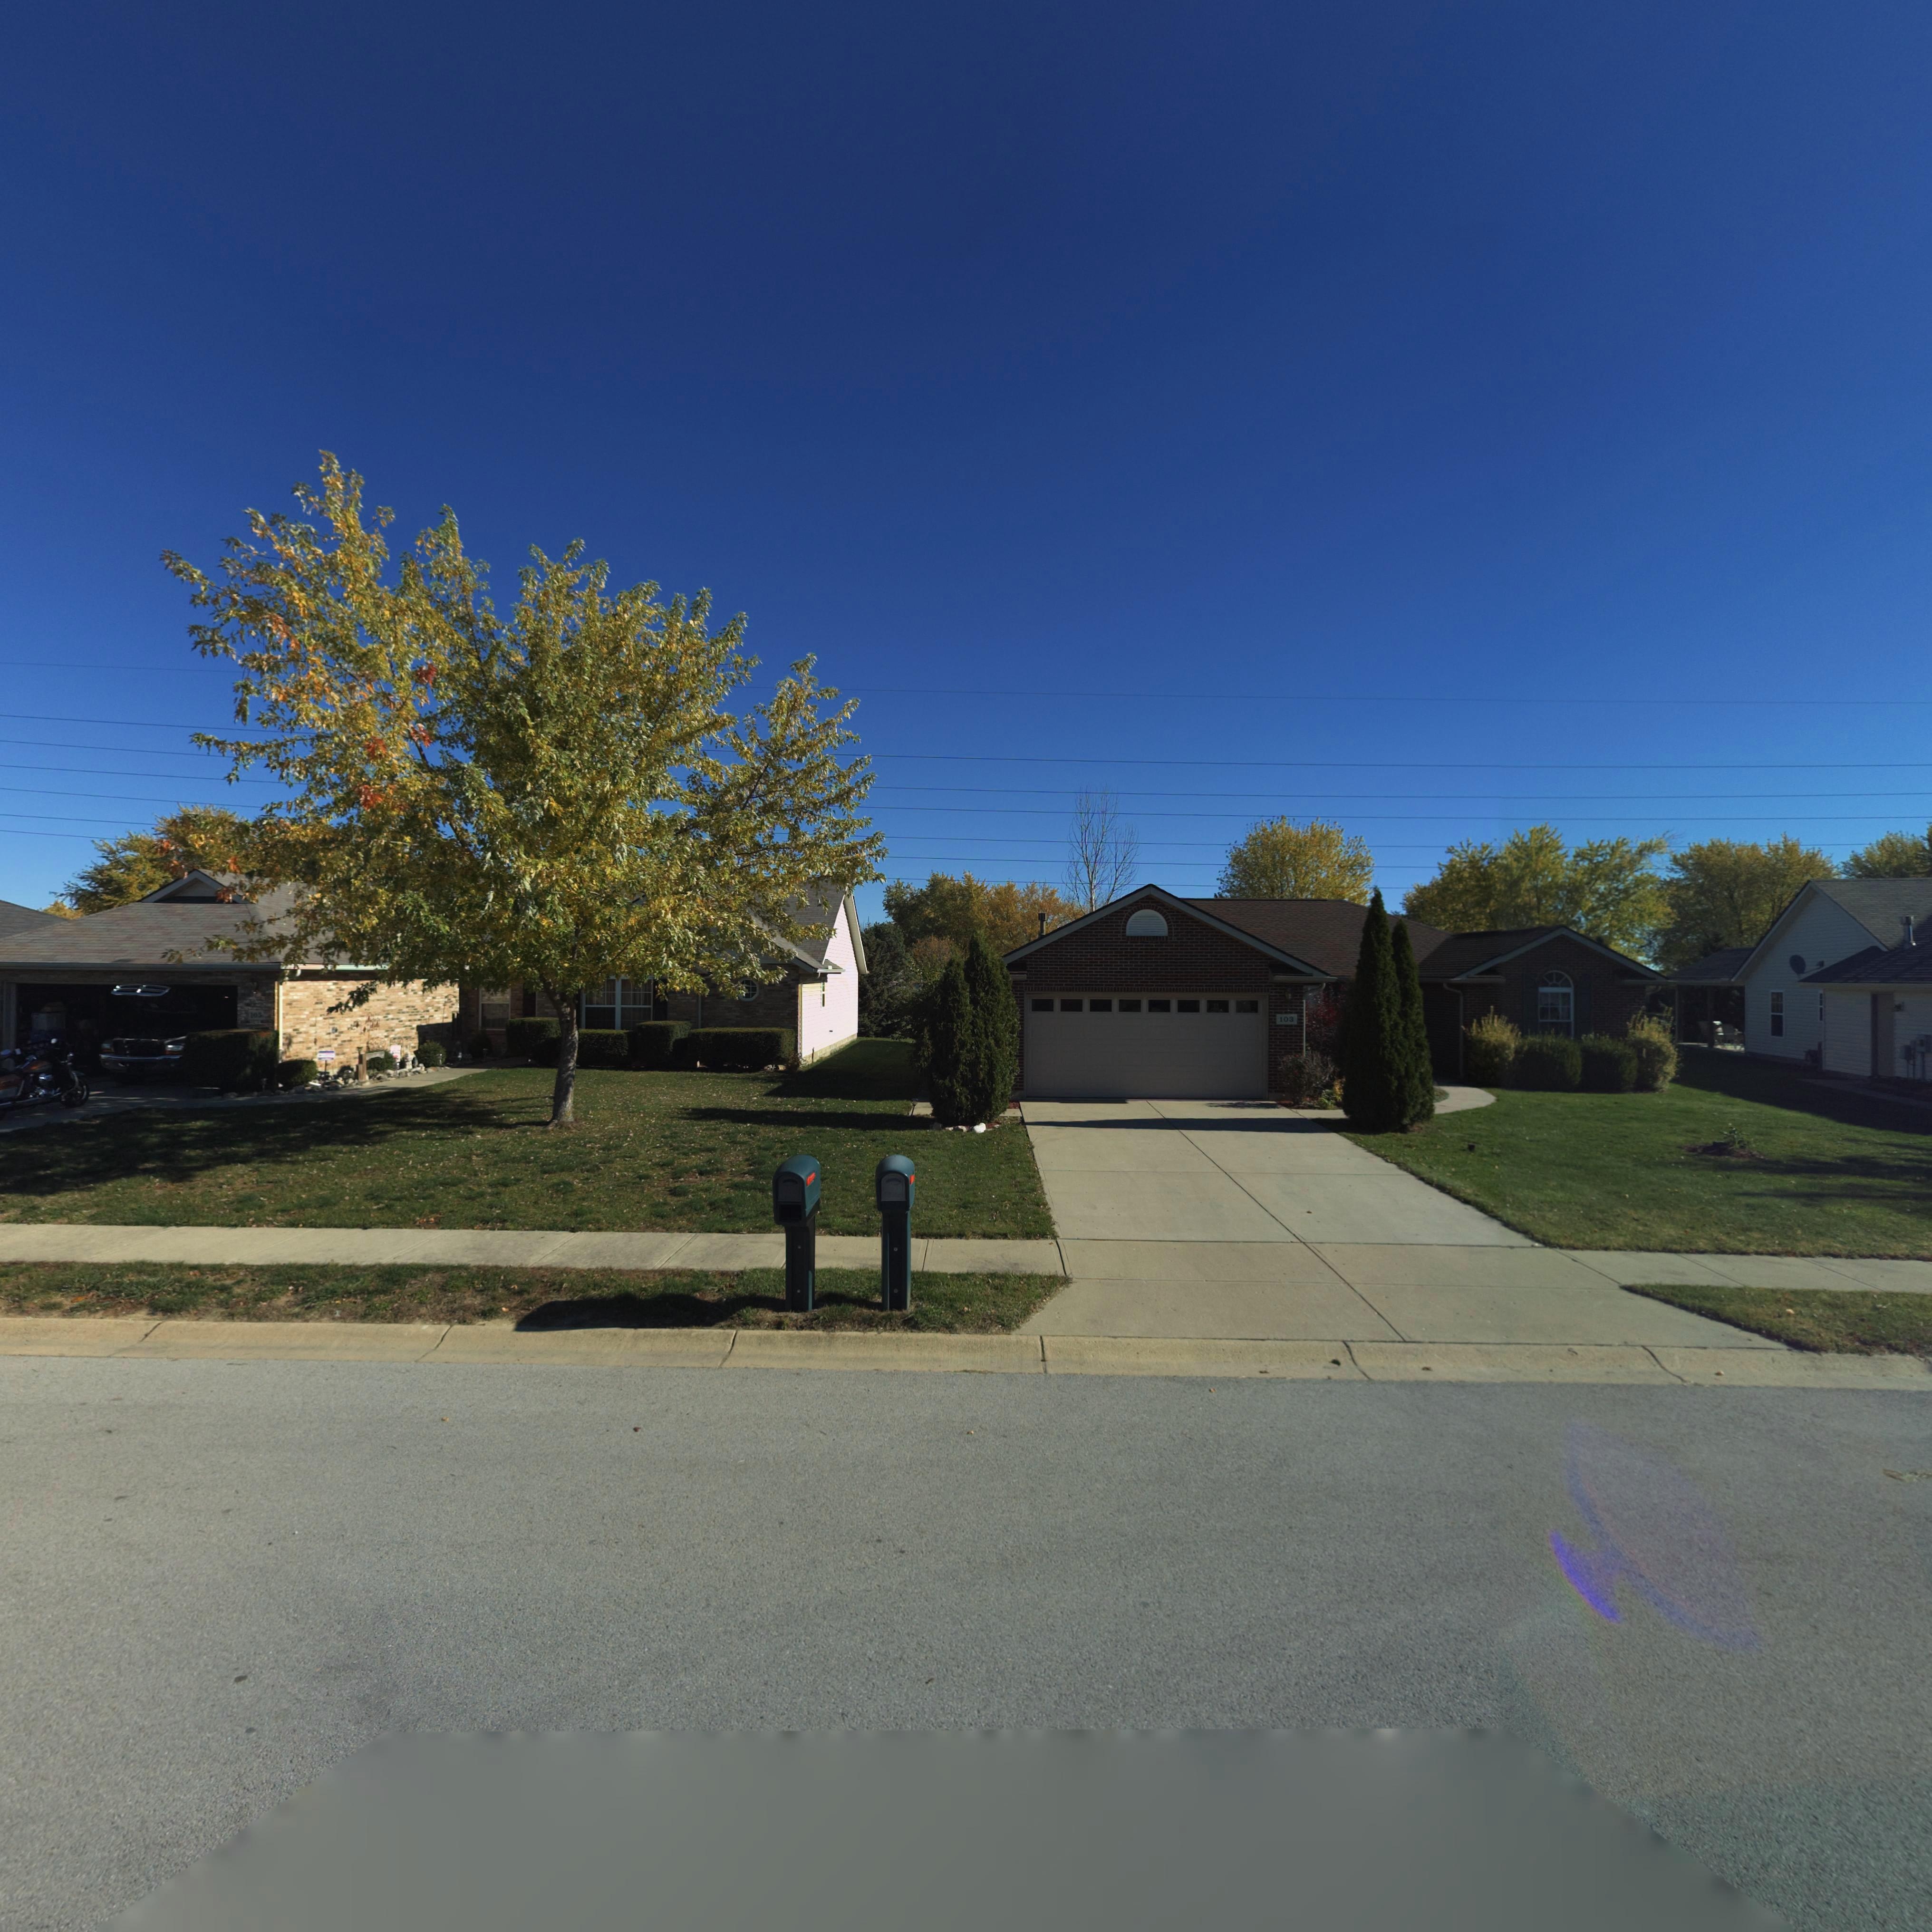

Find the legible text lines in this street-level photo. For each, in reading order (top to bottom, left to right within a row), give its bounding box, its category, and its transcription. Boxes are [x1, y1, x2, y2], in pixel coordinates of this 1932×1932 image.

[250, 1012, 263, 1019] StreetNumber: 105
[1278, 1015, 1294, 1023] StreetNumber: 103